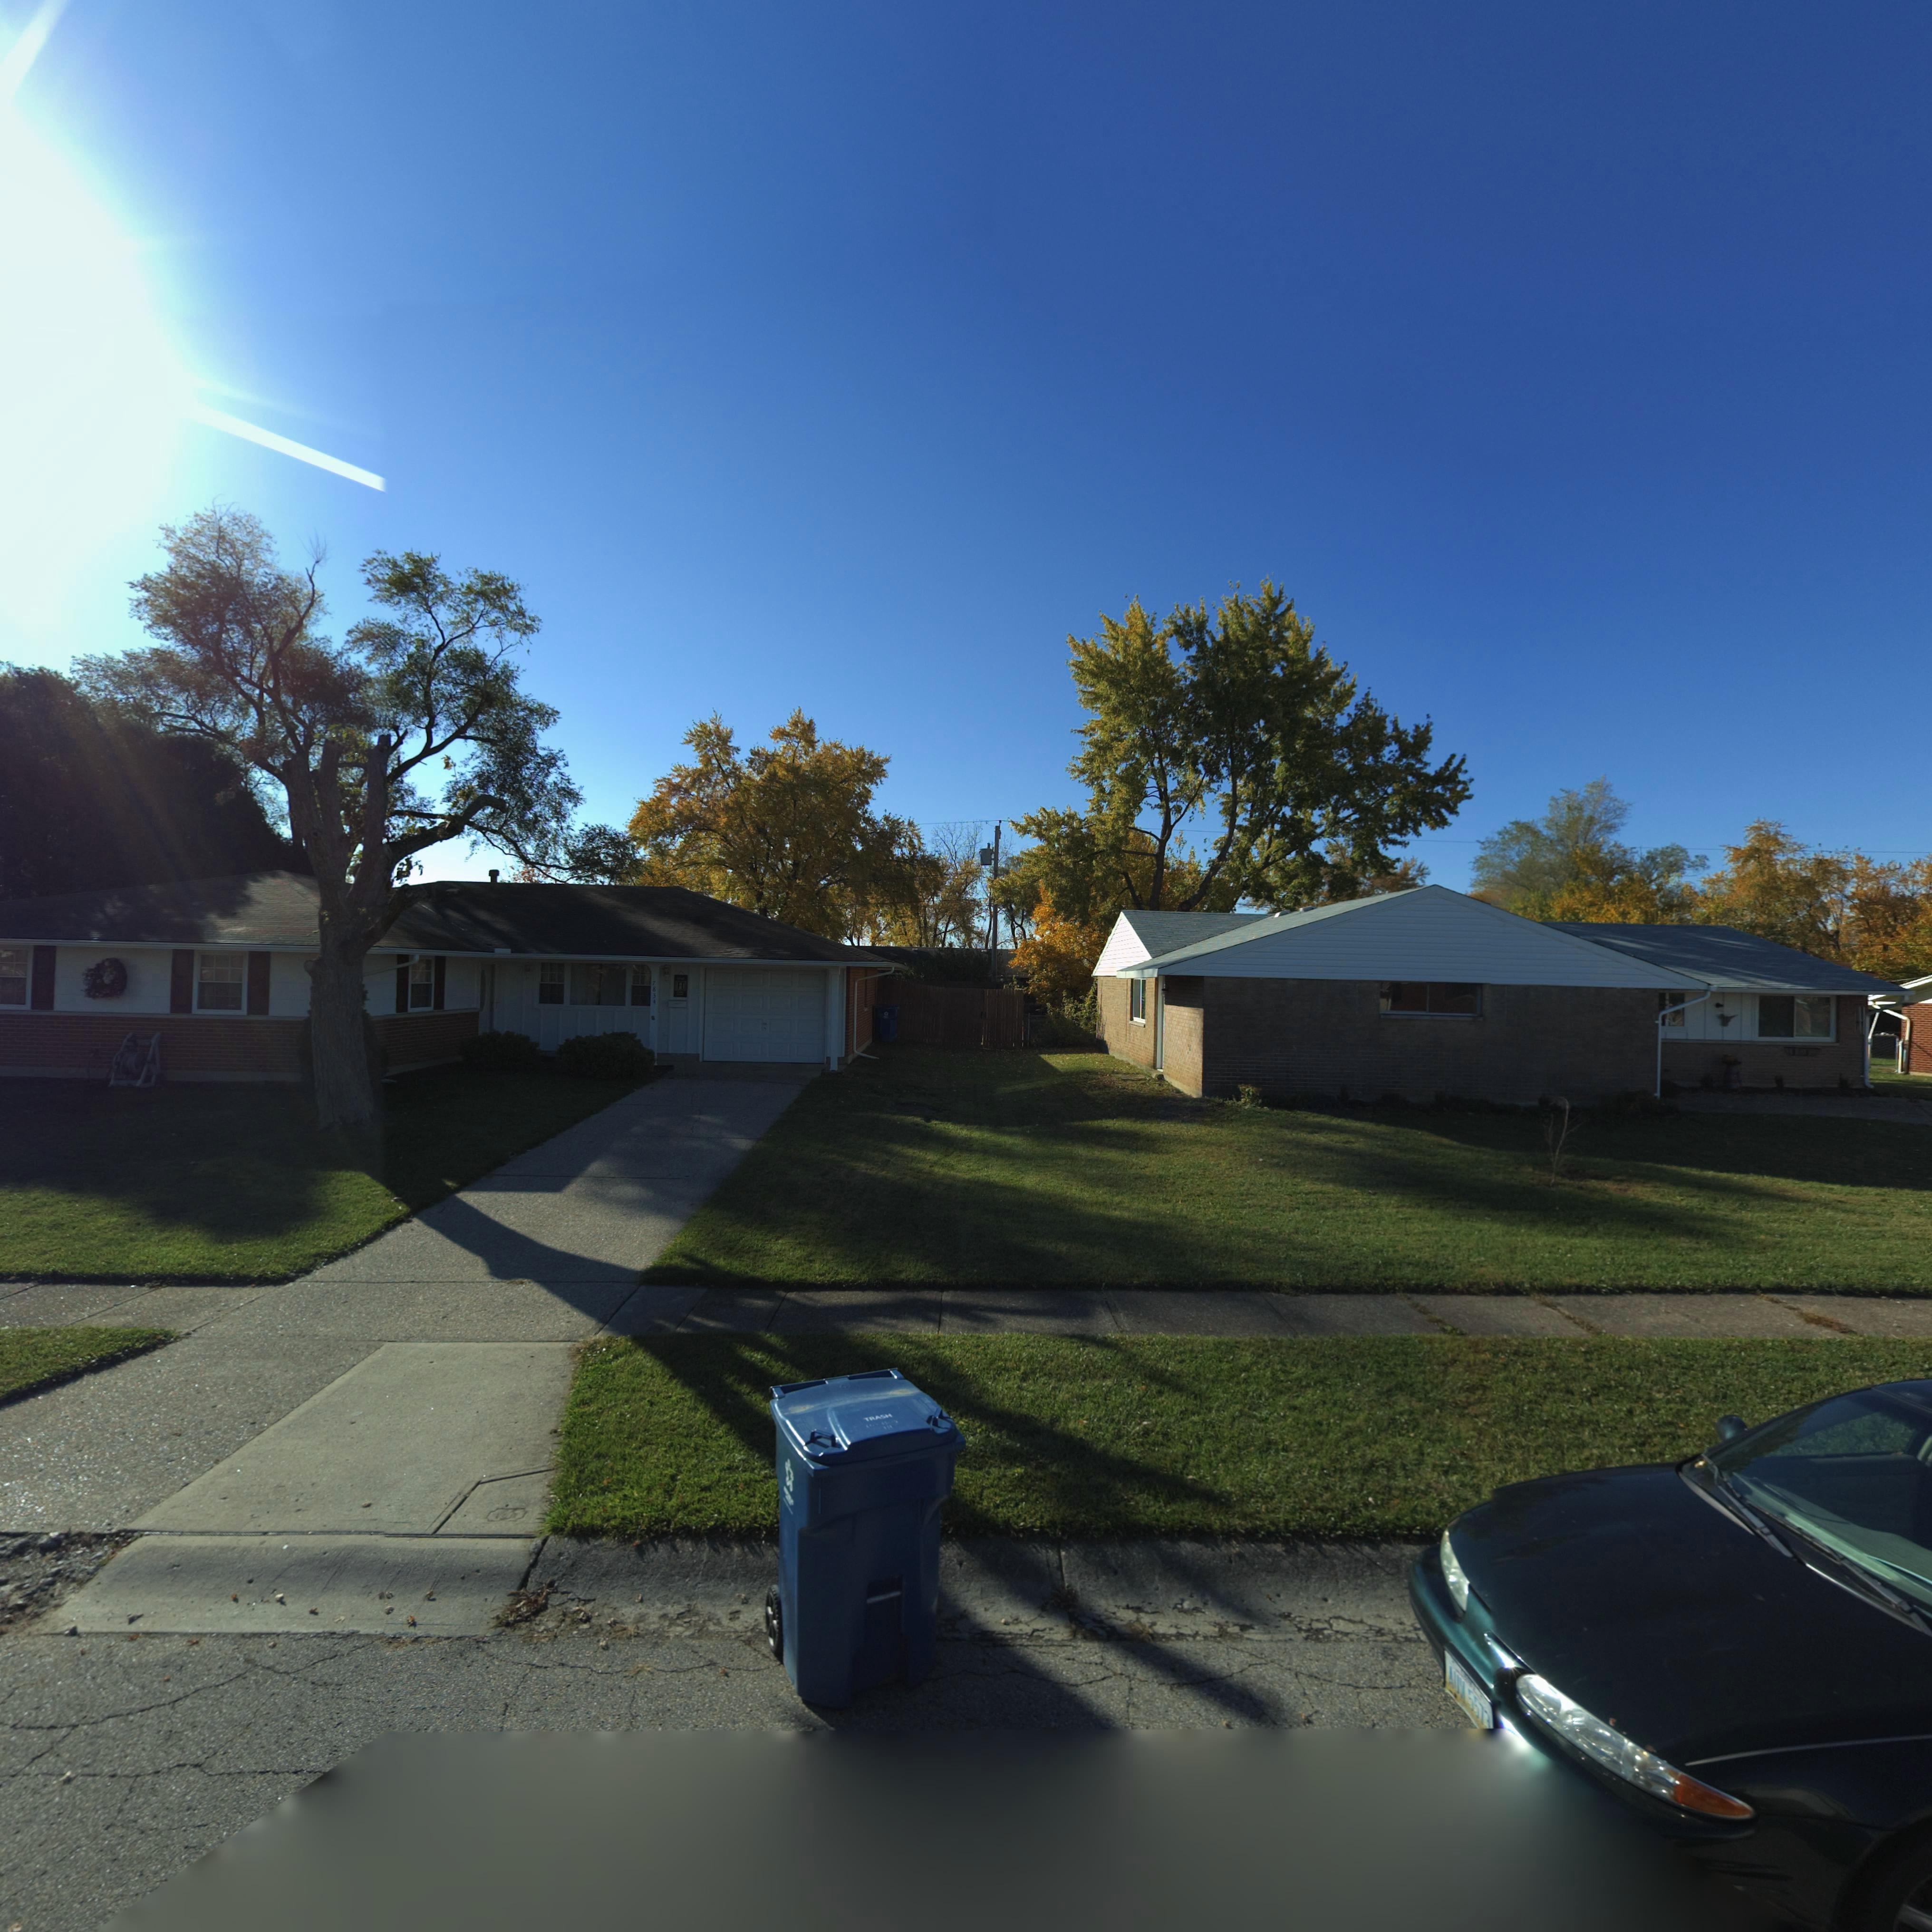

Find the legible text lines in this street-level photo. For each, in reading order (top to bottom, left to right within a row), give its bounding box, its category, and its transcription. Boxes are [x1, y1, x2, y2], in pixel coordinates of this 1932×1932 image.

[652, 980, 657, 1005] StreetNumber: 7834